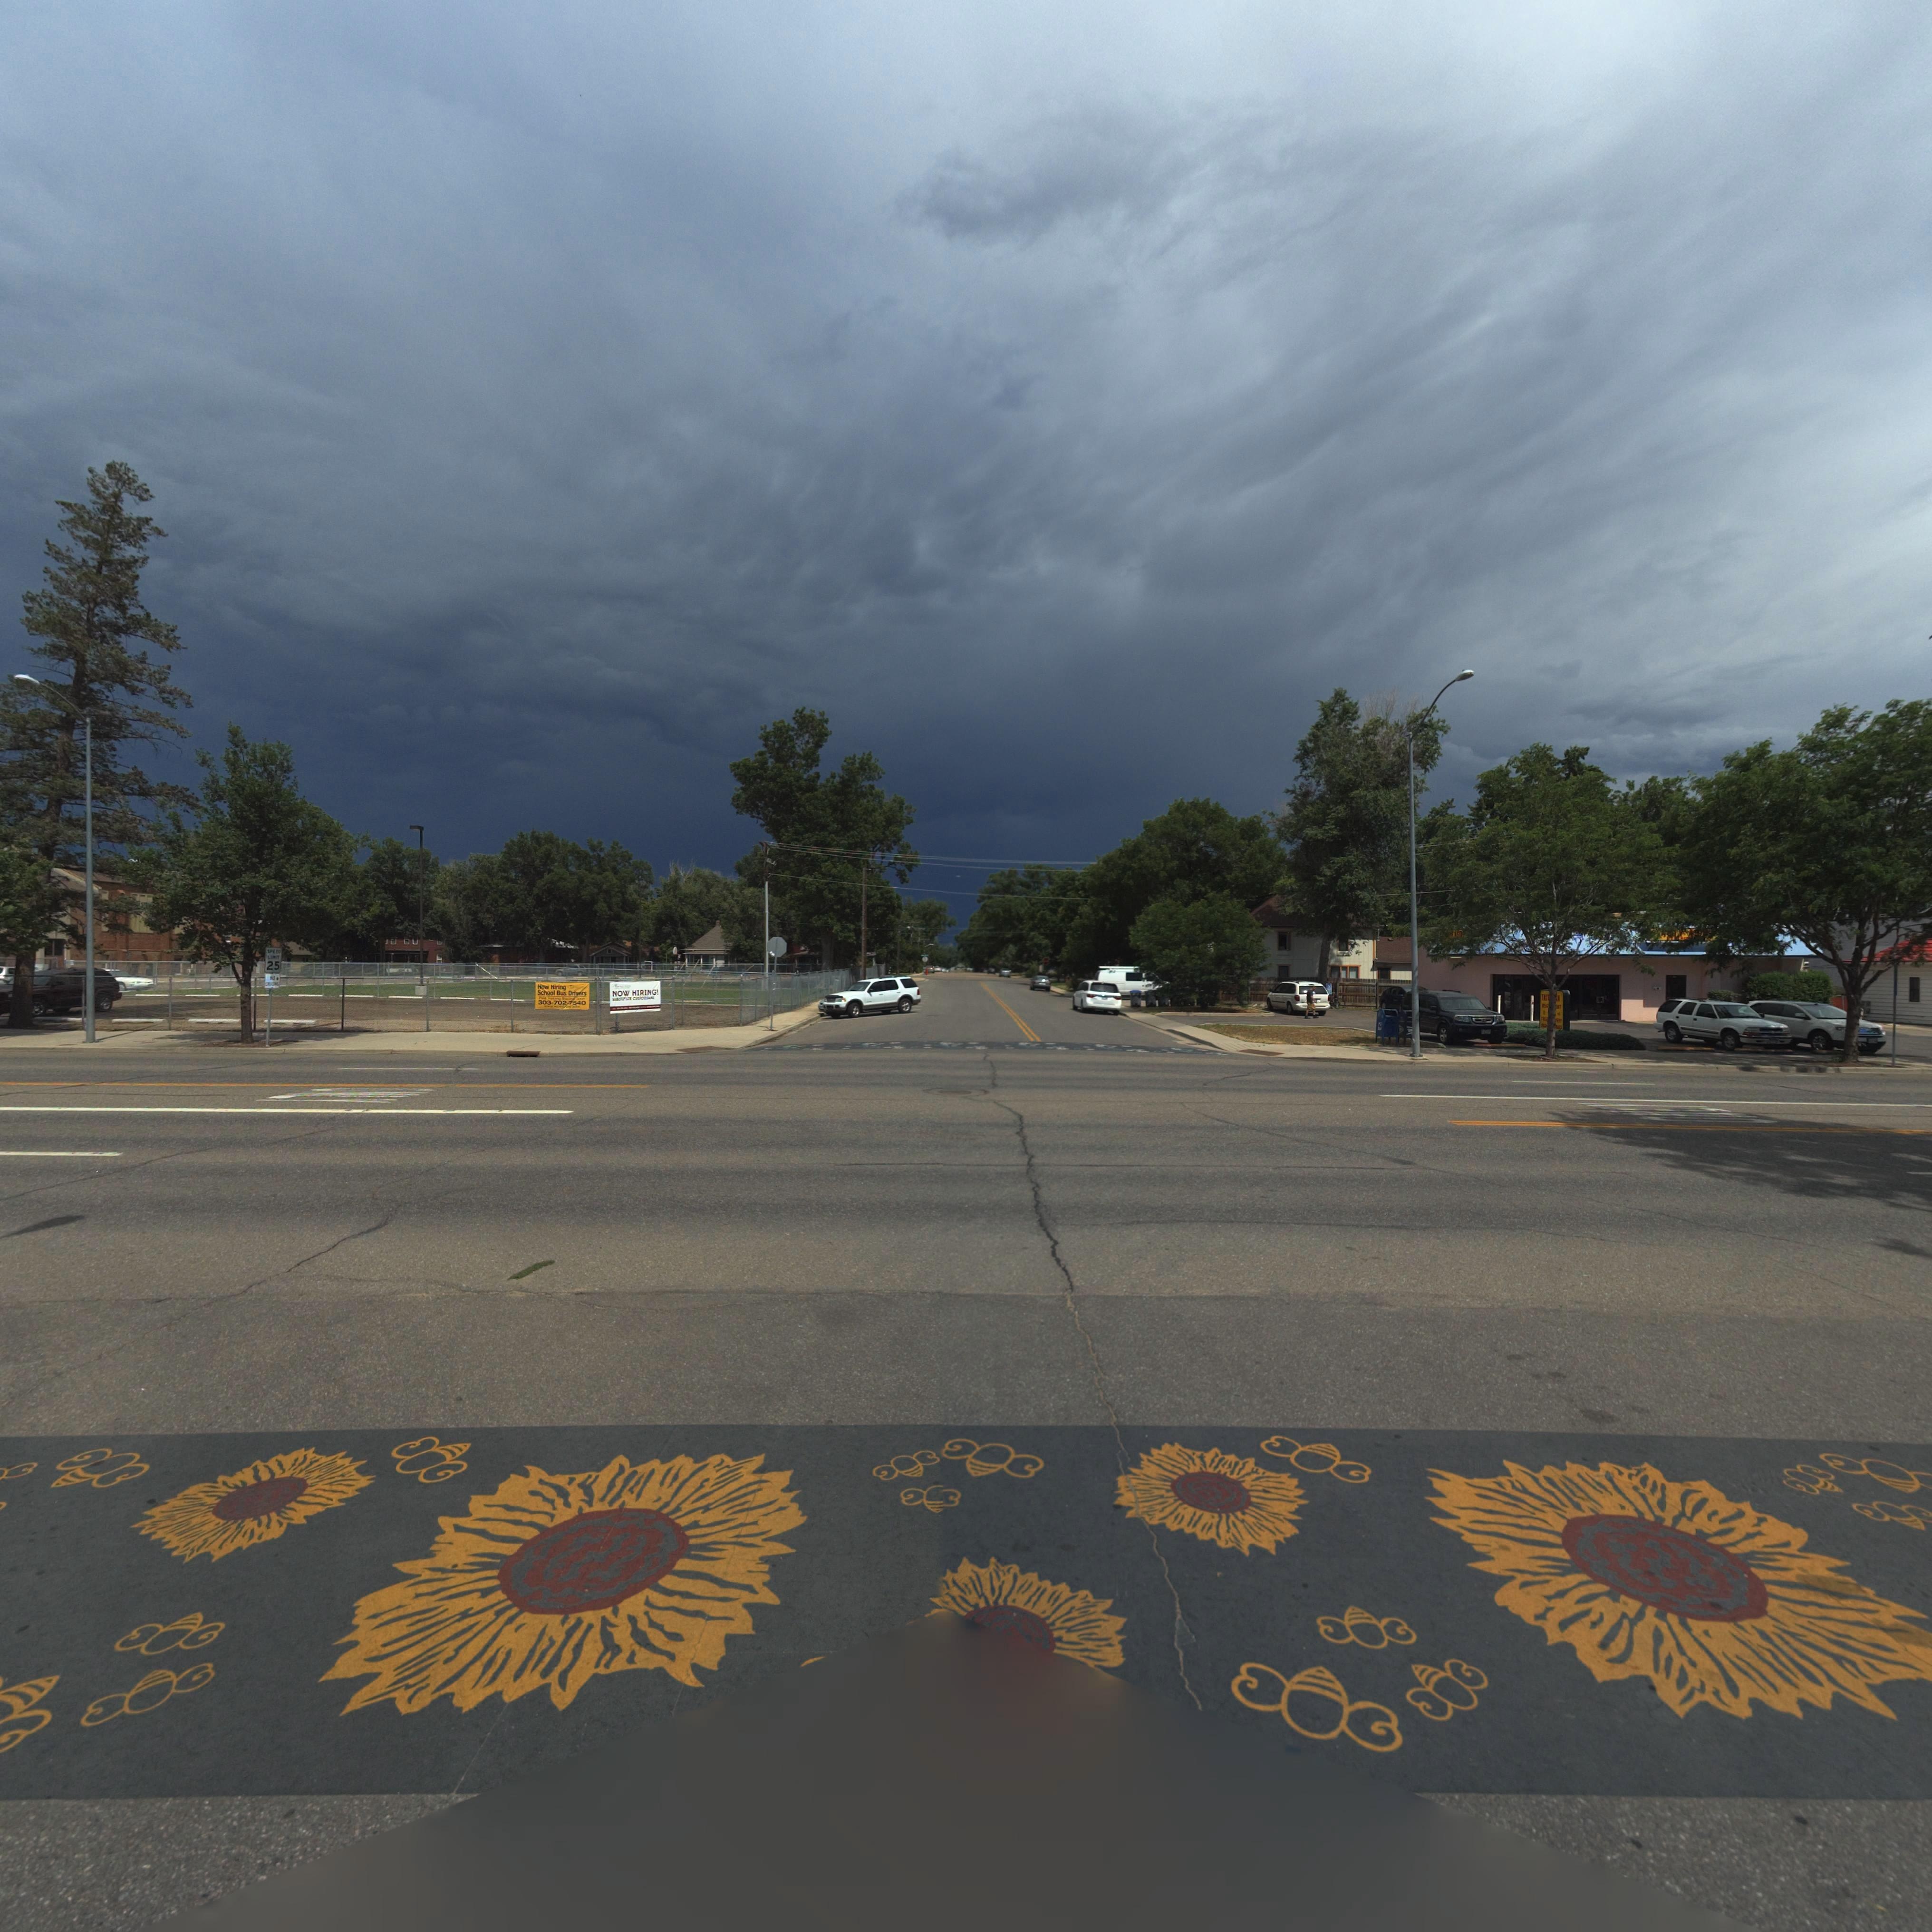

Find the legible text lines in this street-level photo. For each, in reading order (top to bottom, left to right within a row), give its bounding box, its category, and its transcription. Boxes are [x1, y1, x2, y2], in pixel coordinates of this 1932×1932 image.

[1541, 1002, 1561, 1009] BusinessName: RES**NT